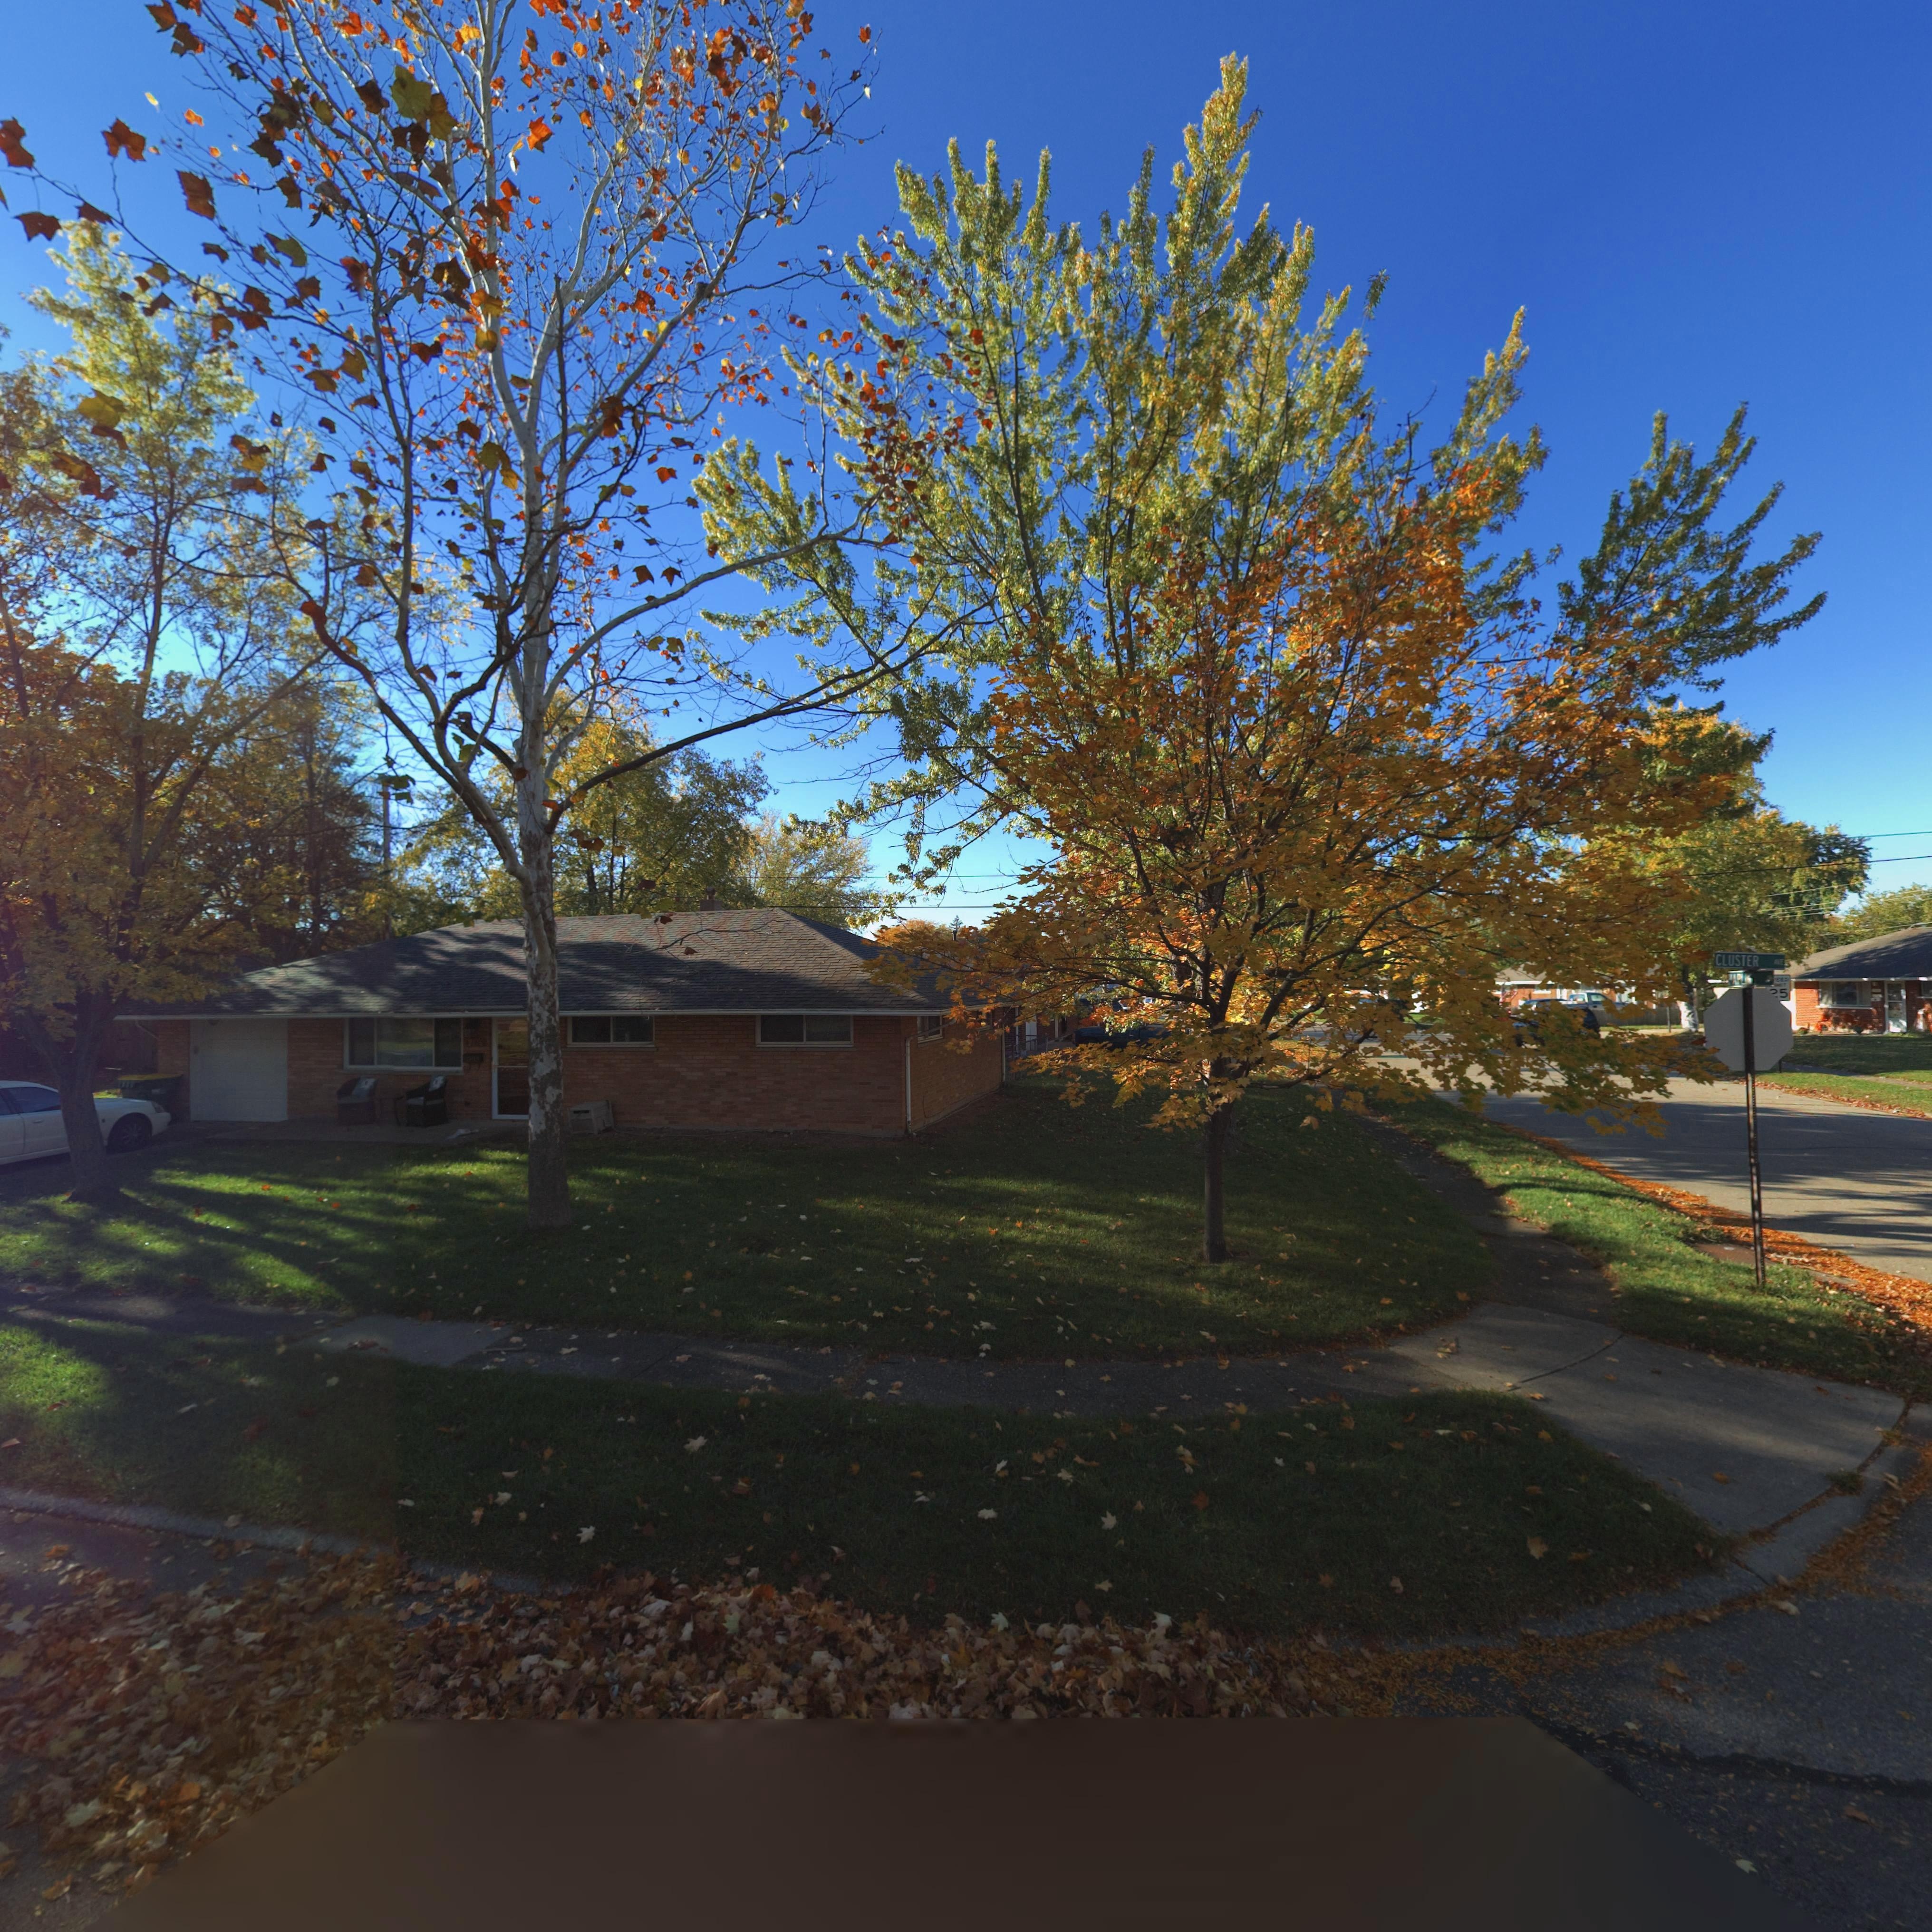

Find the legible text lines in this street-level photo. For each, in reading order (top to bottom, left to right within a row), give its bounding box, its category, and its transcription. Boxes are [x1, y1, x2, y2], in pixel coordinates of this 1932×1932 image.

[466, 1038, 483, 1046] StreetNumber: 2616